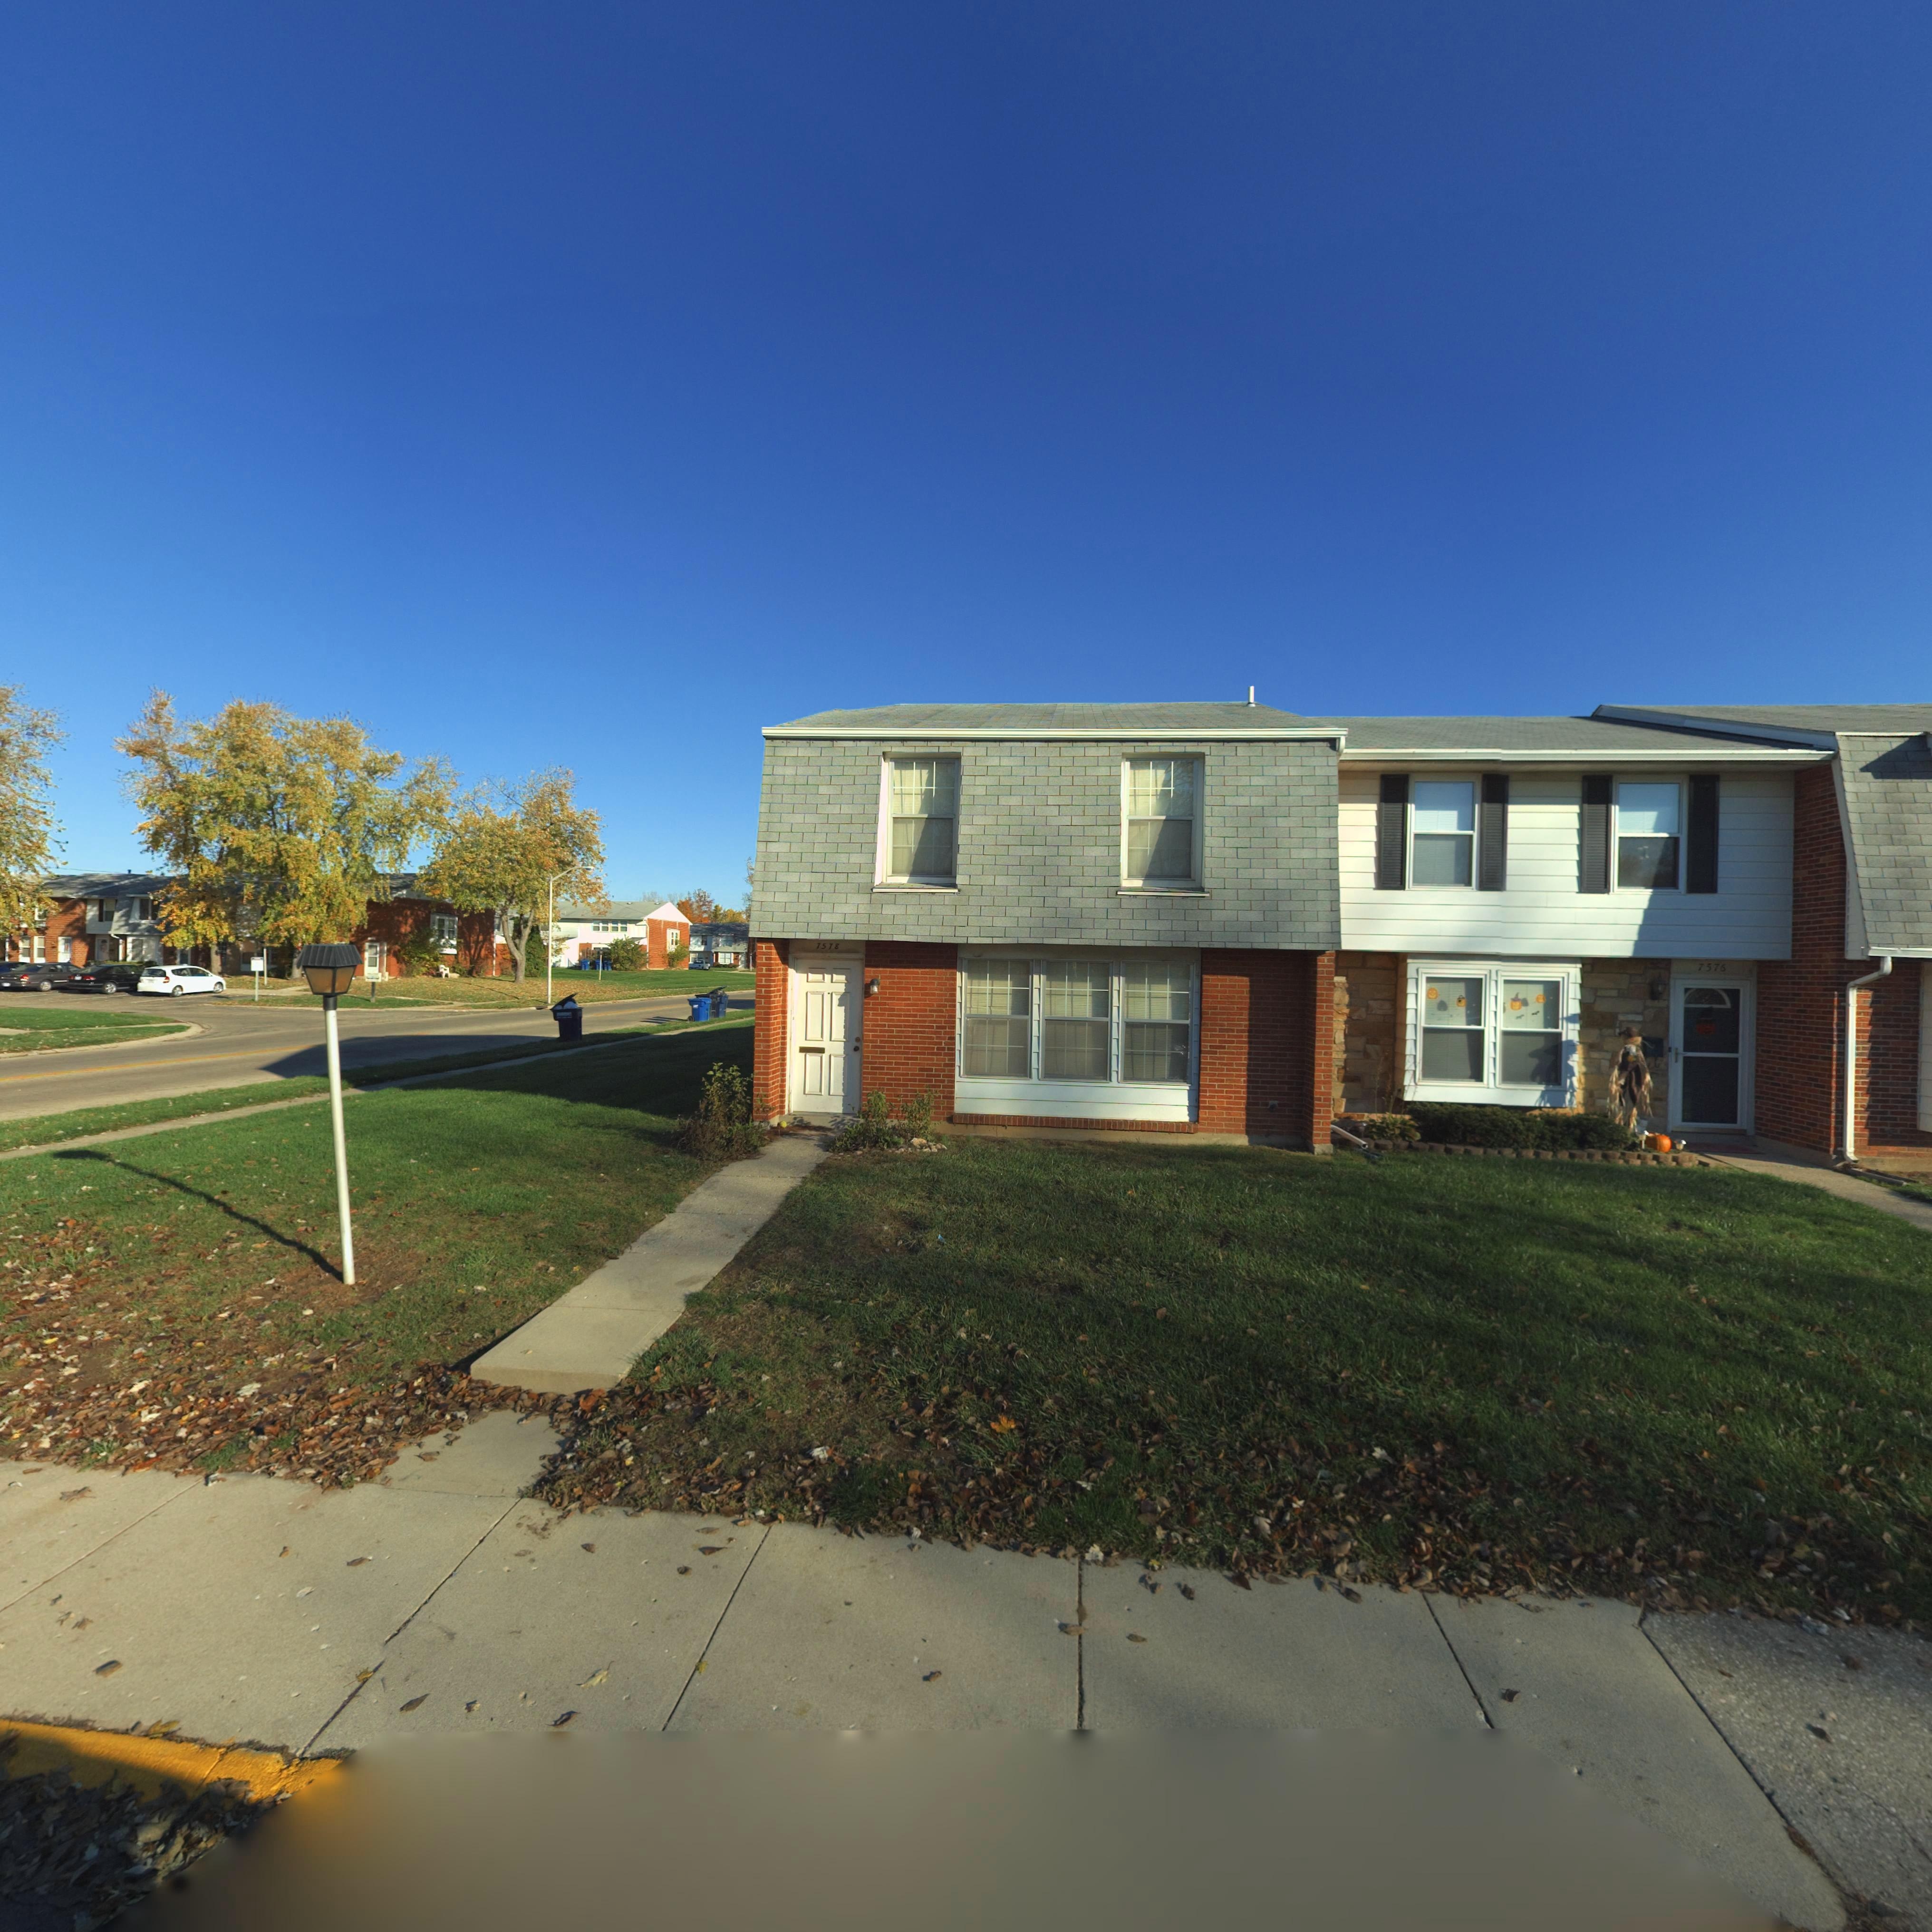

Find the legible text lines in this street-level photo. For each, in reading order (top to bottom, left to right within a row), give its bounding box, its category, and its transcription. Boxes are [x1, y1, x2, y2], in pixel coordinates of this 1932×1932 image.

[815, 941, 841, 951] StreetNumber: 7578
[1697, 962, 1727, 973] StreetNumber: 7576